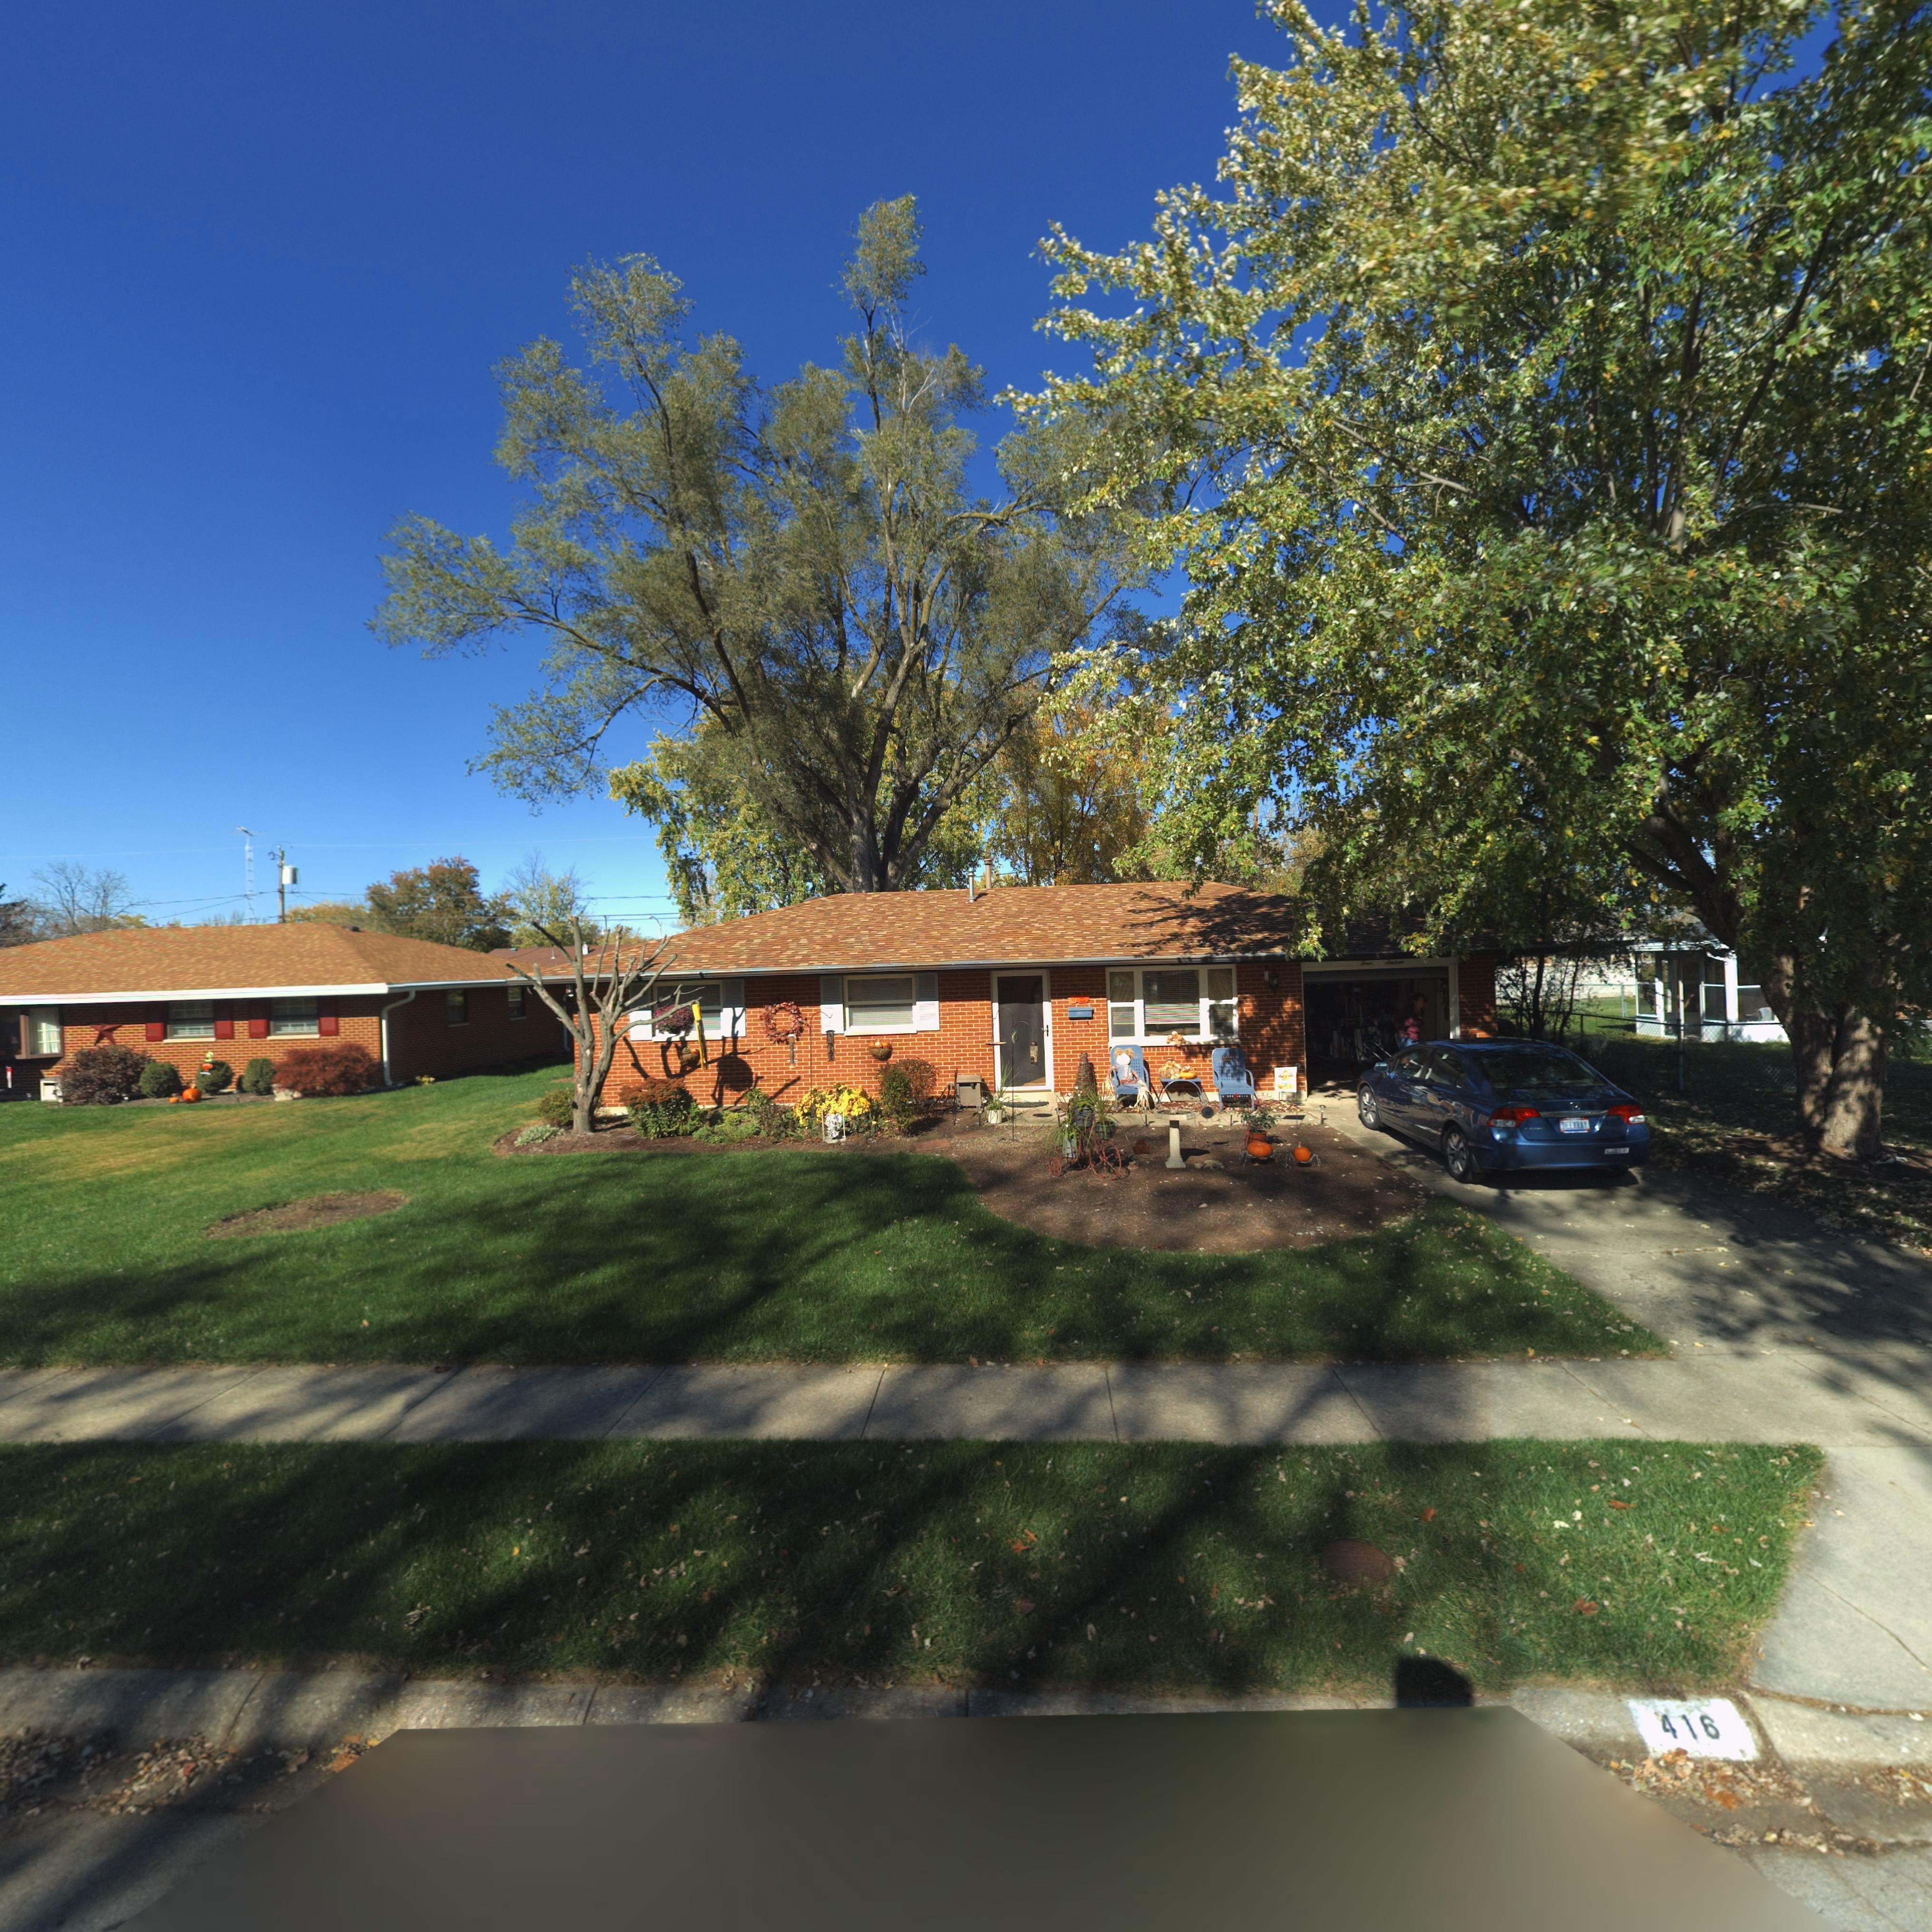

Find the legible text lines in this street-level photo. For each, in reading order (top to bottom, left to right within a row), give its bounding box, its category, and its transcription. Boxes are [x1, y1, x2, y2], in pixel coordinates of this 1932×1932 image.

[1658, 1712, 1722, 1741] StreetNumber: 416